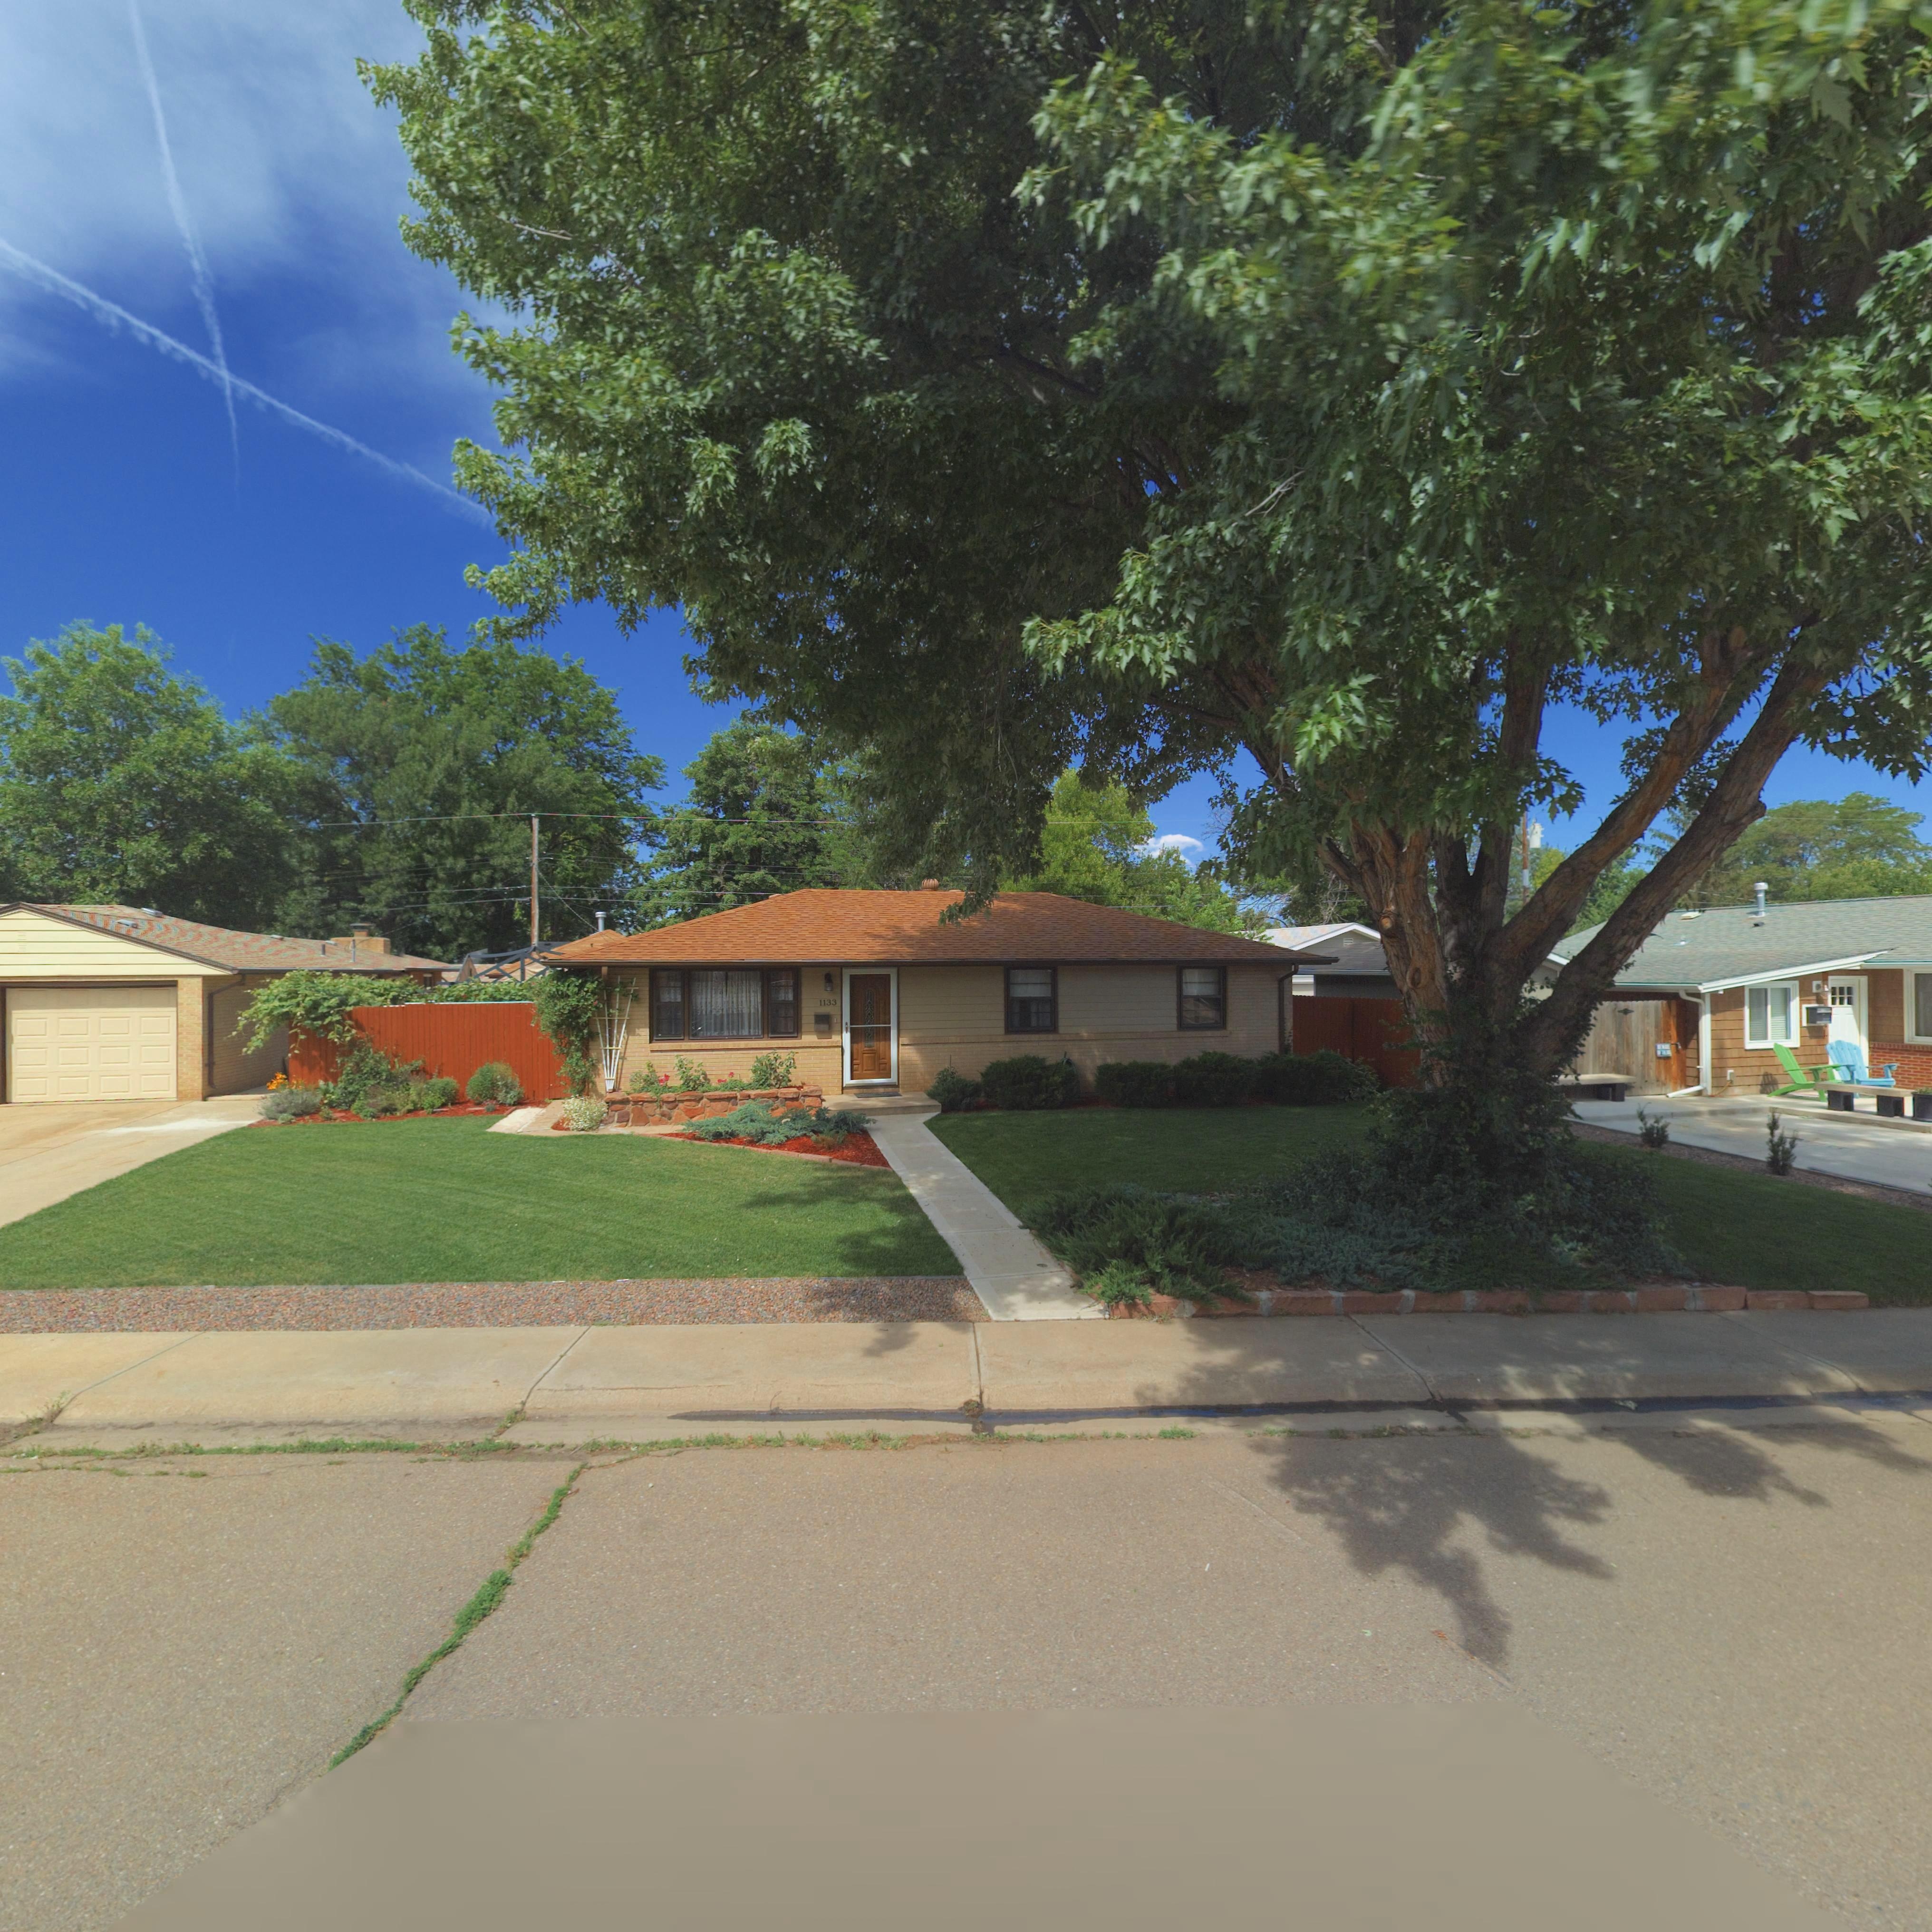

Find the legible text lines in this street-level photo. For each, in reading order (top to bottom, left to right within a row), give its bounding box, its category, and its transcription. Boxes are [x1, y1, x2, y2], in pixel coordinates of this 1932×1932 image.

[819, 998, 837, 1006] StreetNumber: 1133